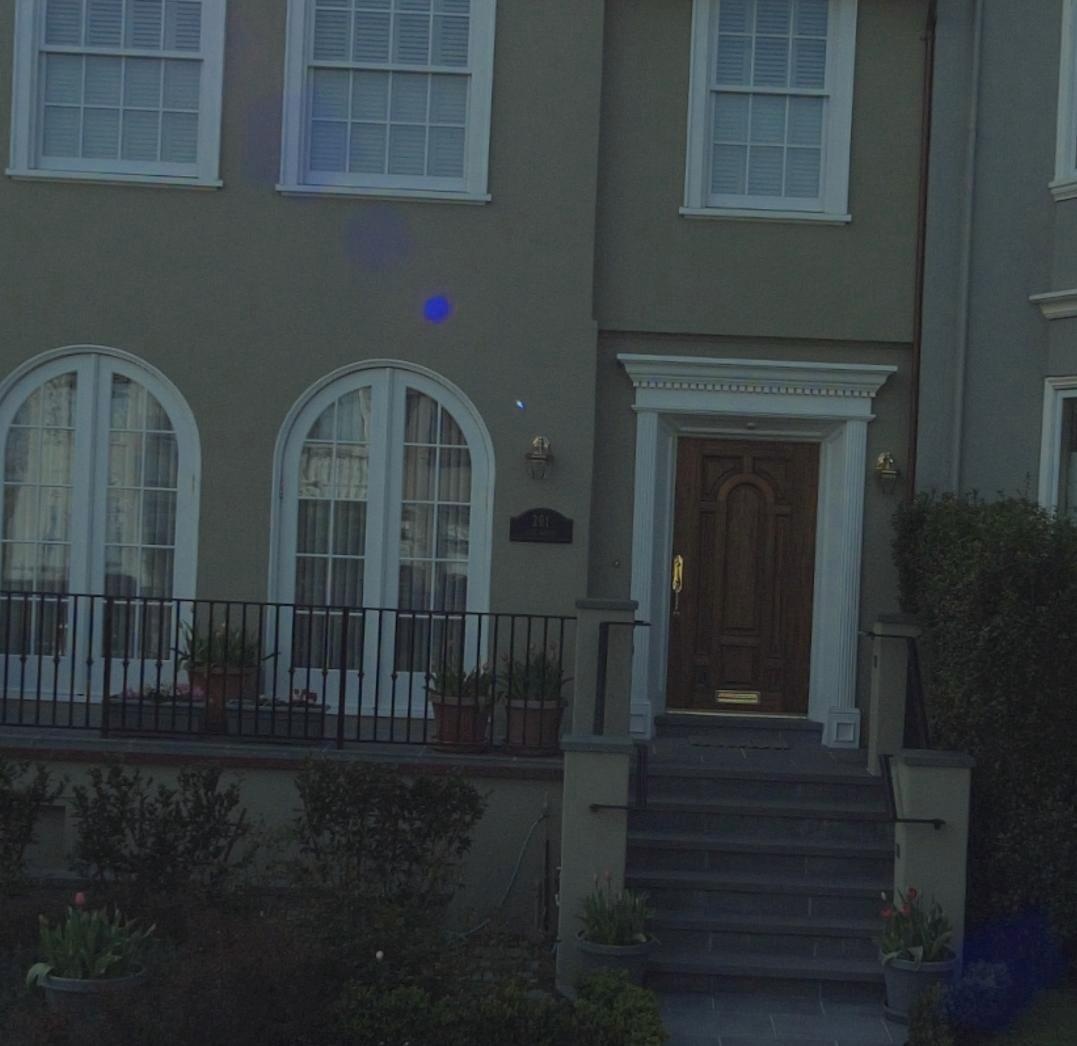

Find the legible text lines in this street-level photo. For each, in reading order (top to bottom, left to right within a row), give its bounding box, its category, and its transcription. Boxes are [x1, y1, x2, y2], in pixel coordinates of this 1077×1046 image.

[530, 513, 550, 529] StreetNumber: 291